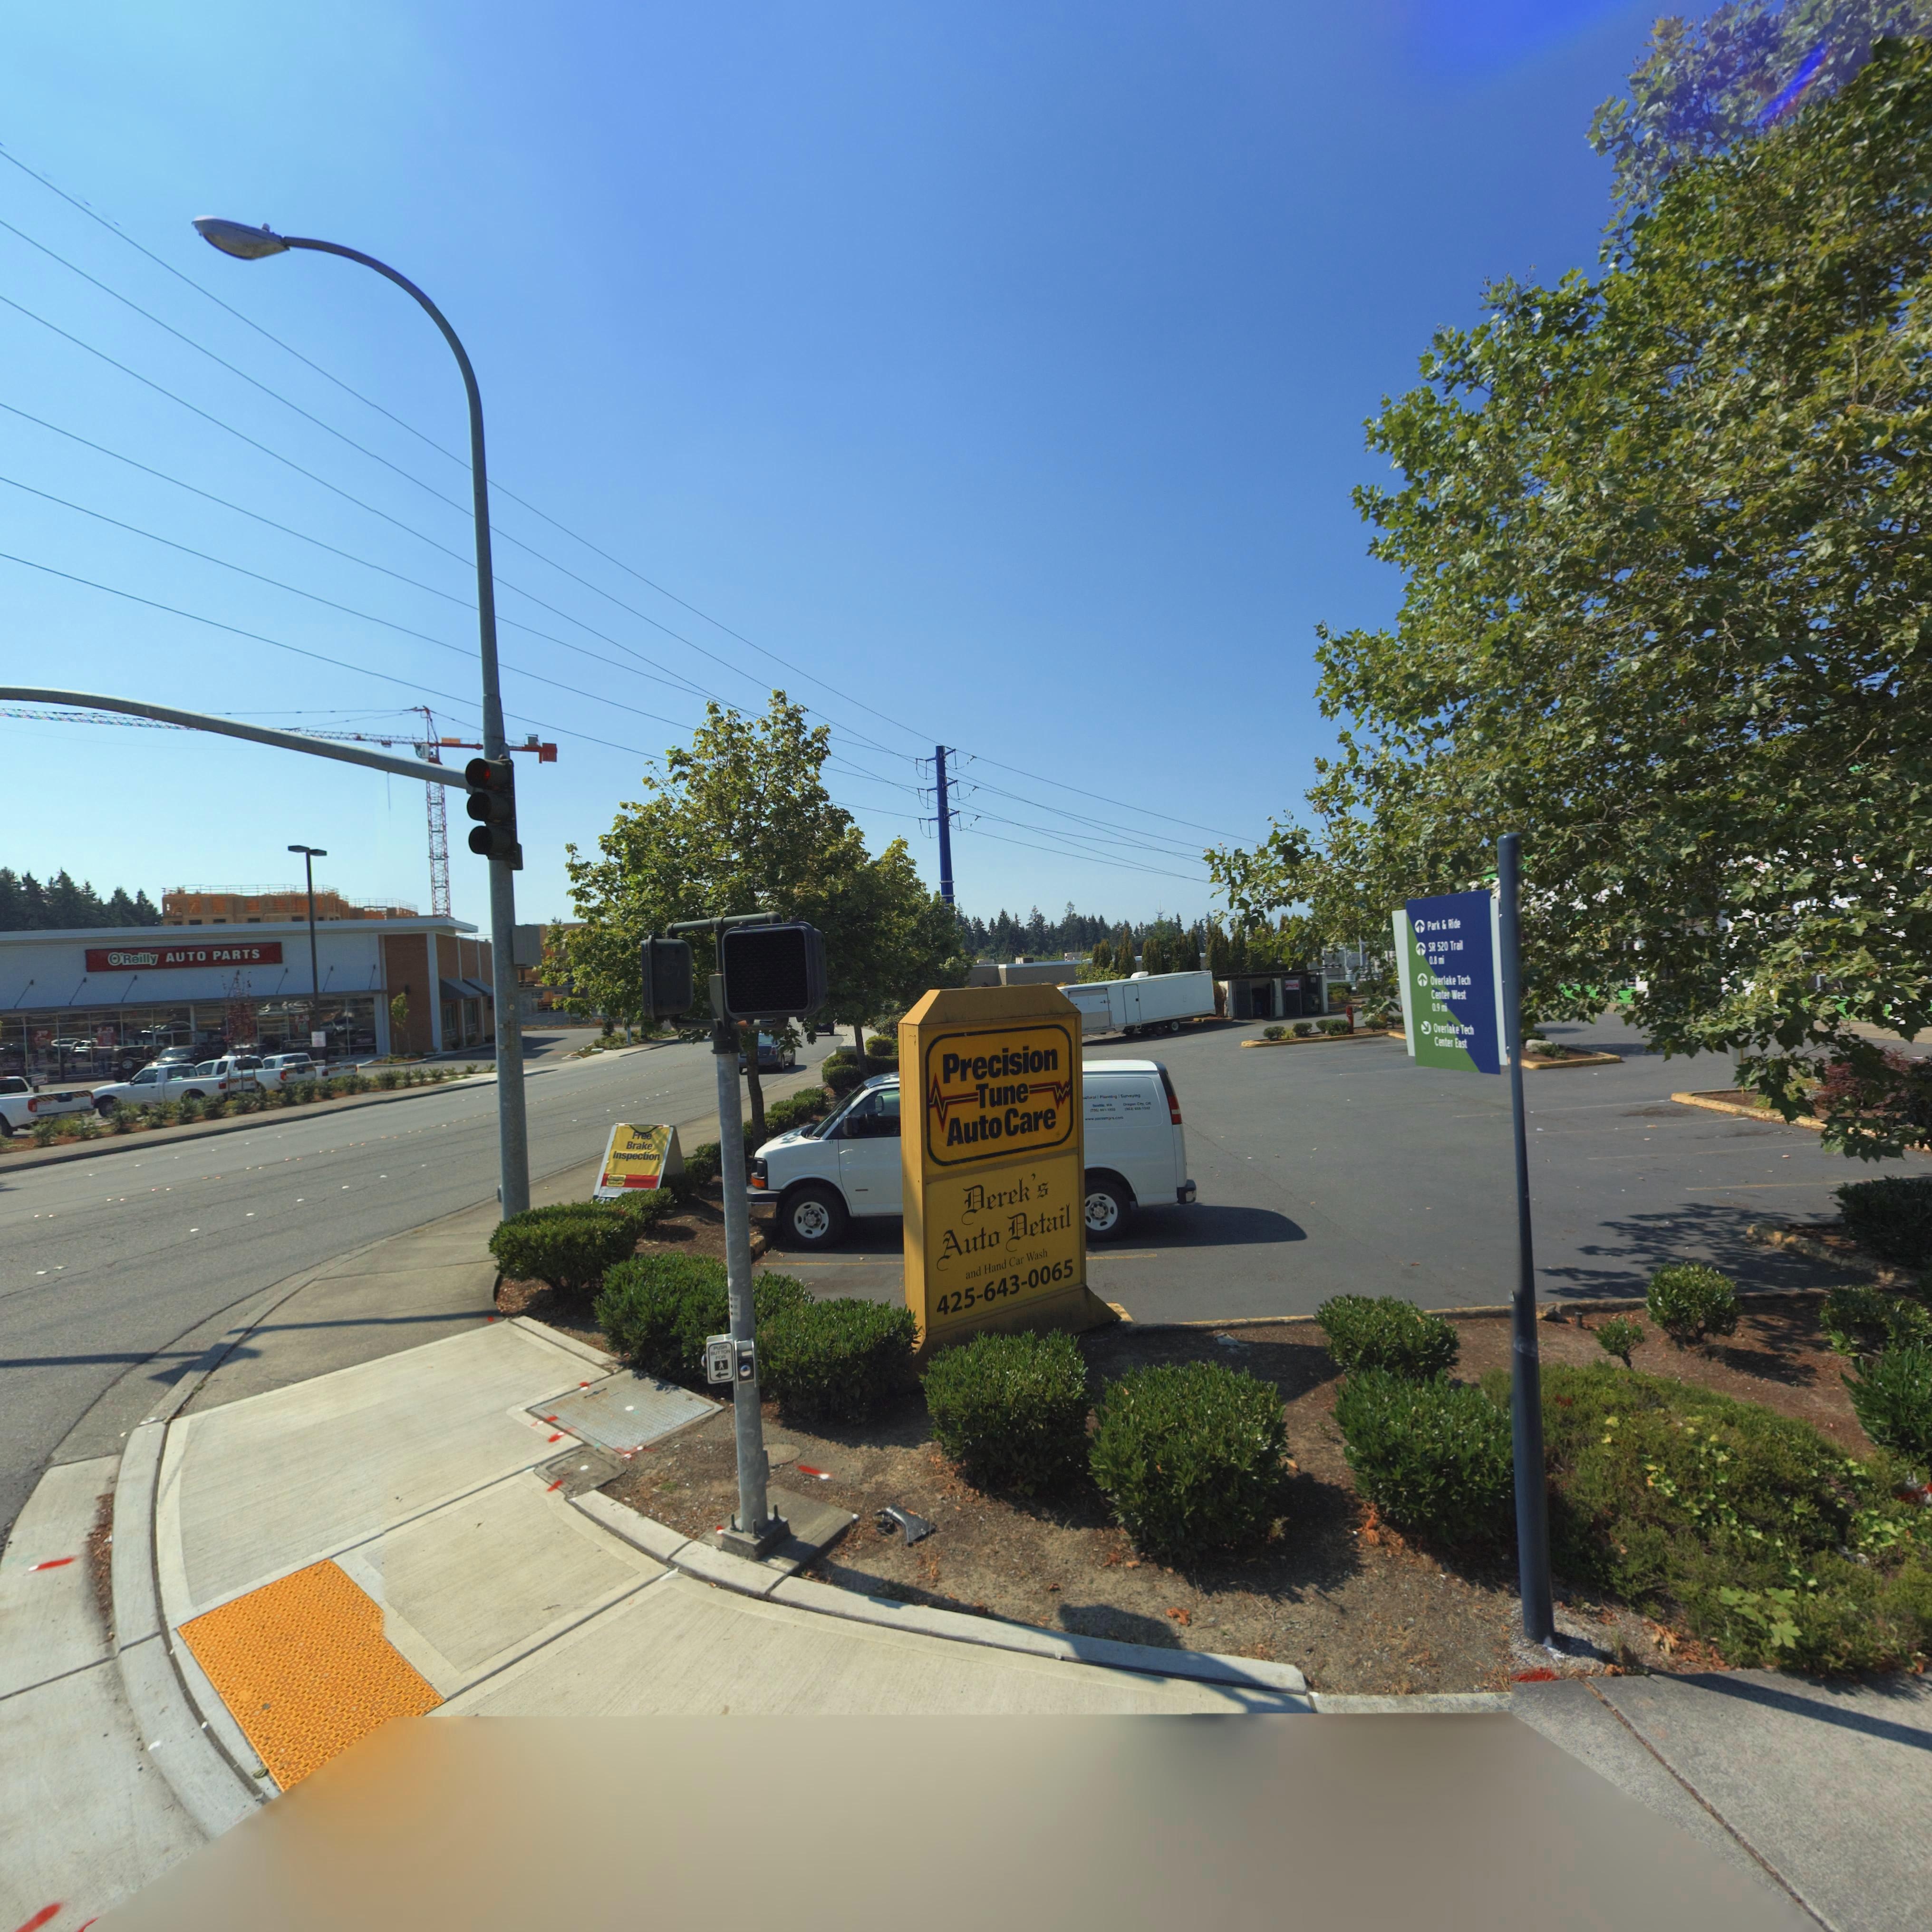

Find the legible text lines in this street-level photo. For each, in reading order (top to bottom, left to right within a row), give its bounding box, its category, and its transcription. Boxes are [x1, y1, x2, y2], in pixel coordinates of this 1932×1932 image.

[106, 948, 263, 966] BusinessName: O'Reilly AUTO PARTS
[941, 1043, 1060, 1085] BusinessName: Precision
[973, 1078, 1031, 1109] BusinessName: Tune
[942, 1107, 1057, 1147] BusinessName: AutoCare
[960, 1170, 1052, 1221] BusinessName: Derek's
[933, 1203, 1072, 1275] BusinessName: Auto Detail